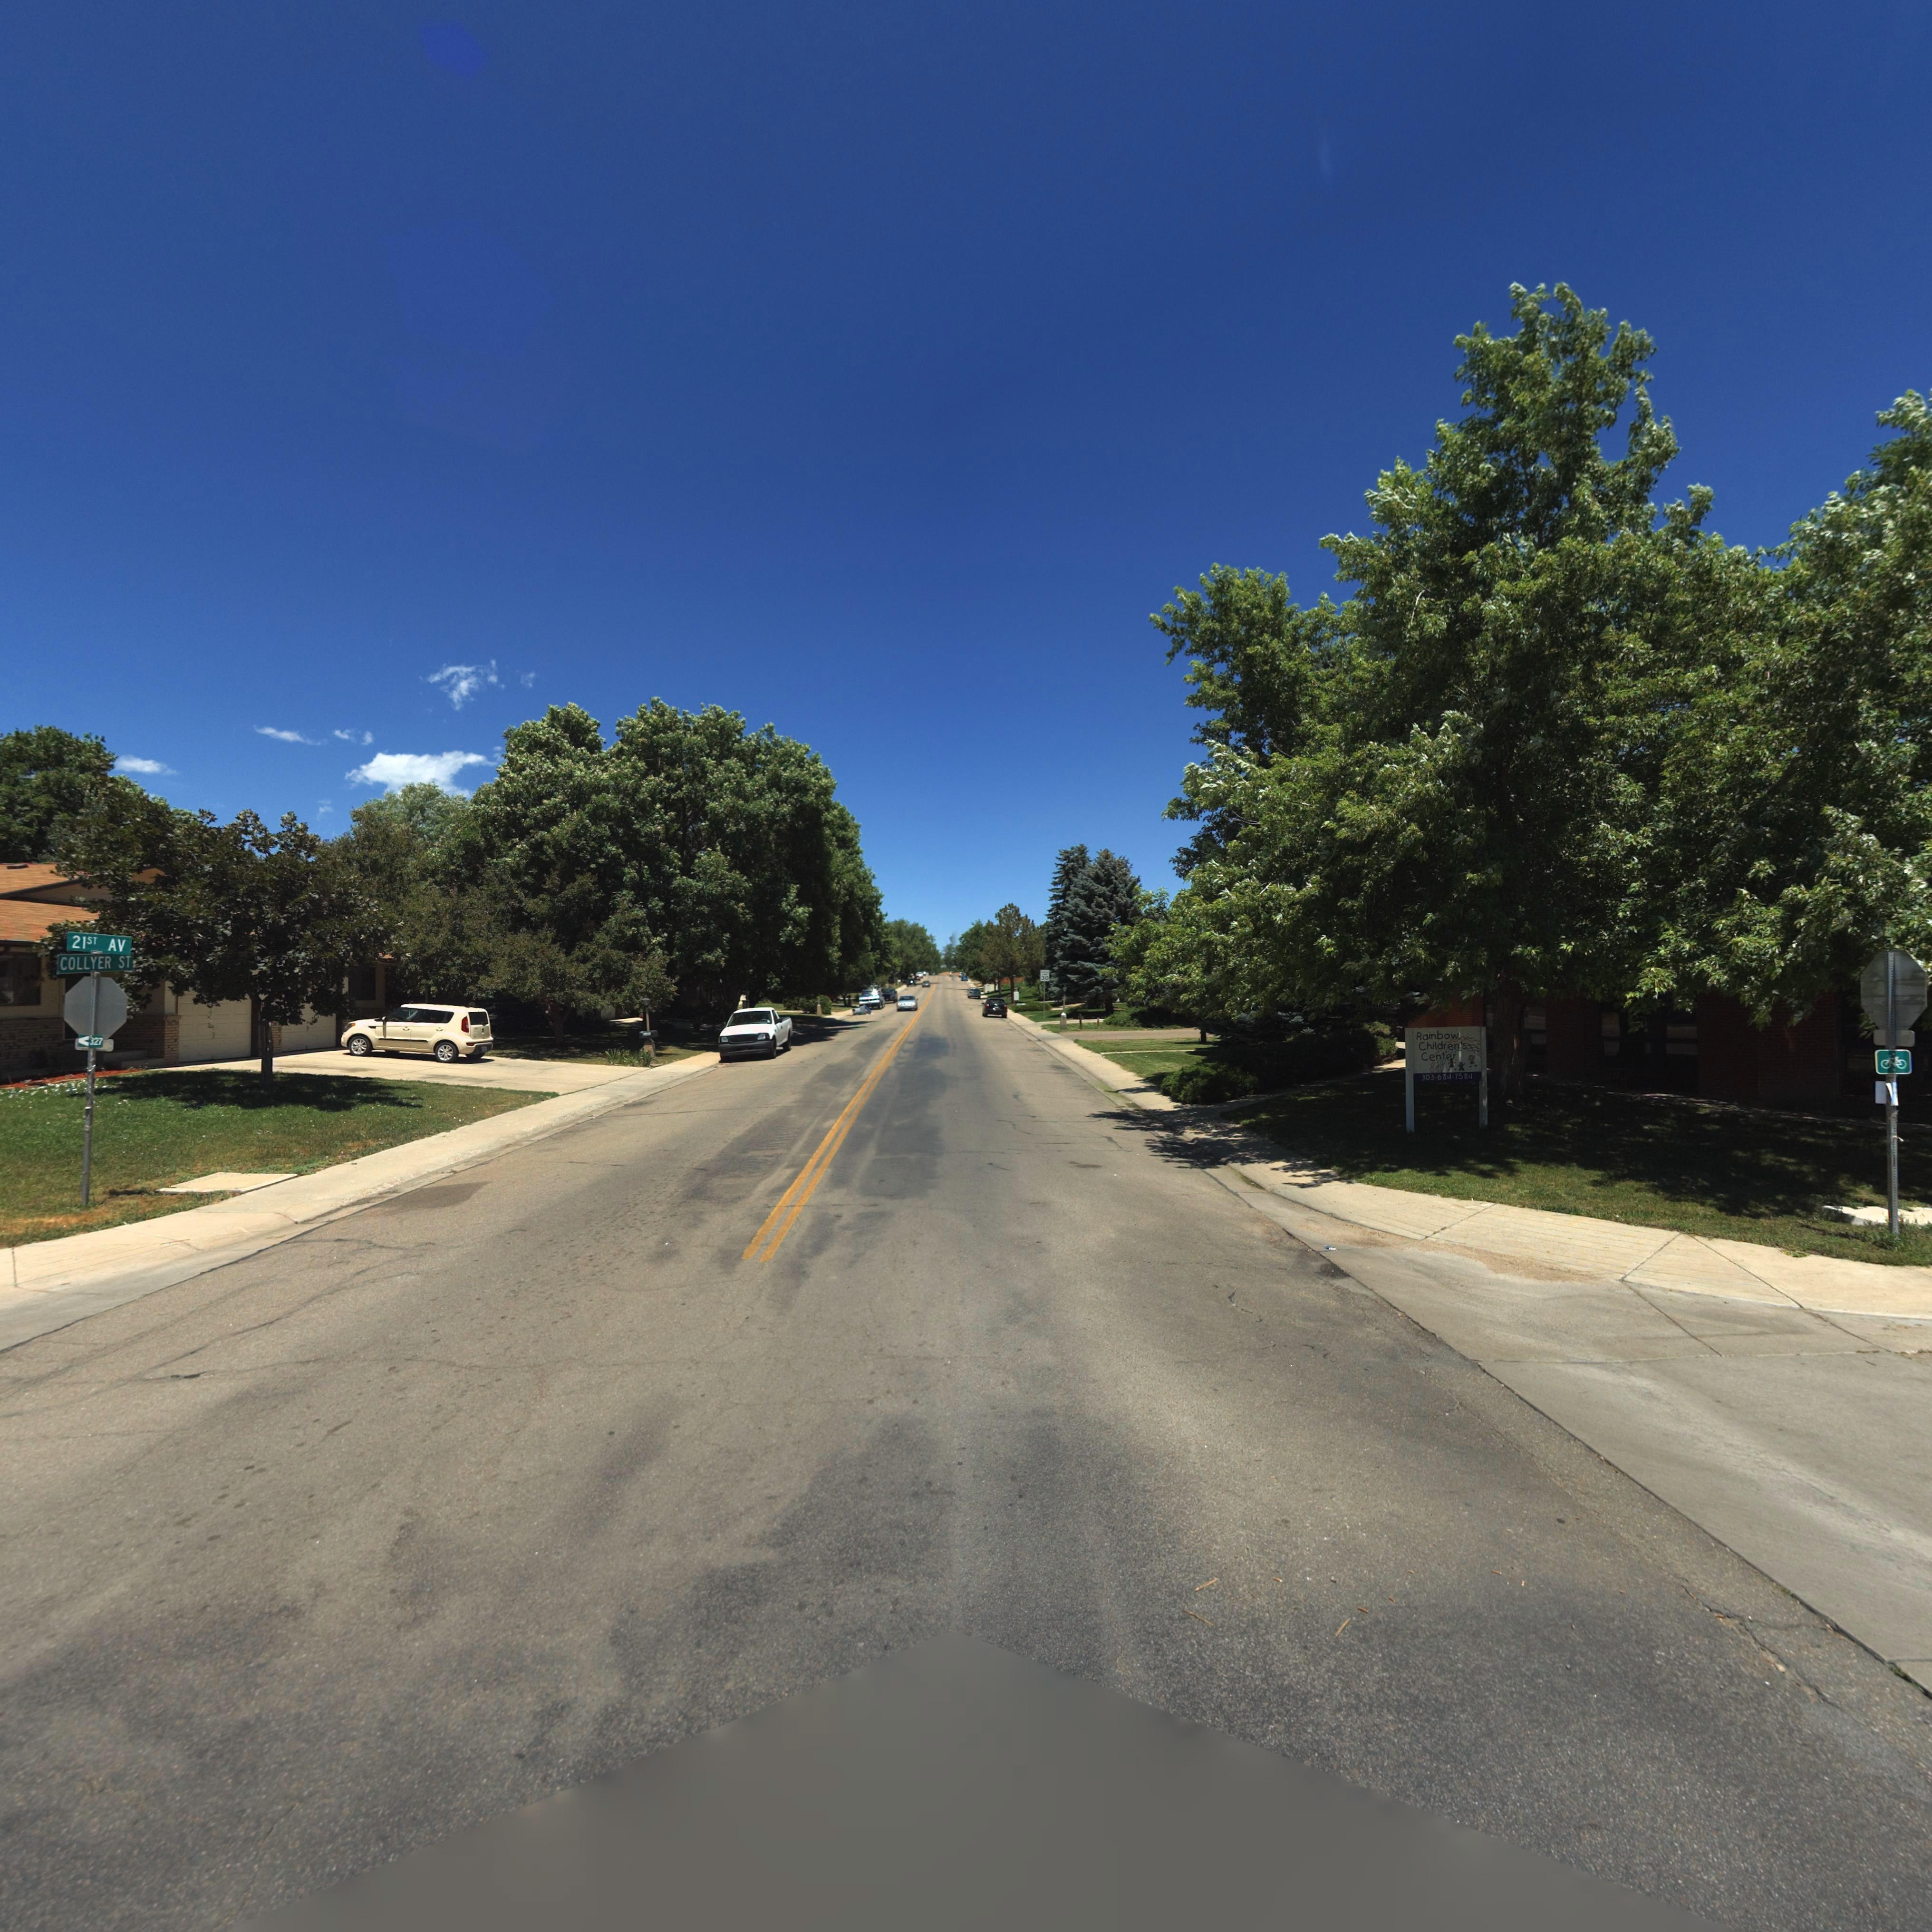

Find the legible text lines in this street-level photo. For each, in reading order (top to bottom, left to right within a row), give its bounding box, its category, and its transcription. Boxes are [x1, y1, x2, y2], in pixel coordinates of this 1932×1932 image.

[69, 934, 128, 952] StreetName: 21ST AV
[59, 954, 133, 971] StreetName: COLLYER ST
[1415, 1029, 1461, 1041] BusinessName: Rainbow
[1417, 1041, 1469, 1051] BusinessName: Children's
[1421, 1051, 1457, 1061] BusinessName: Center